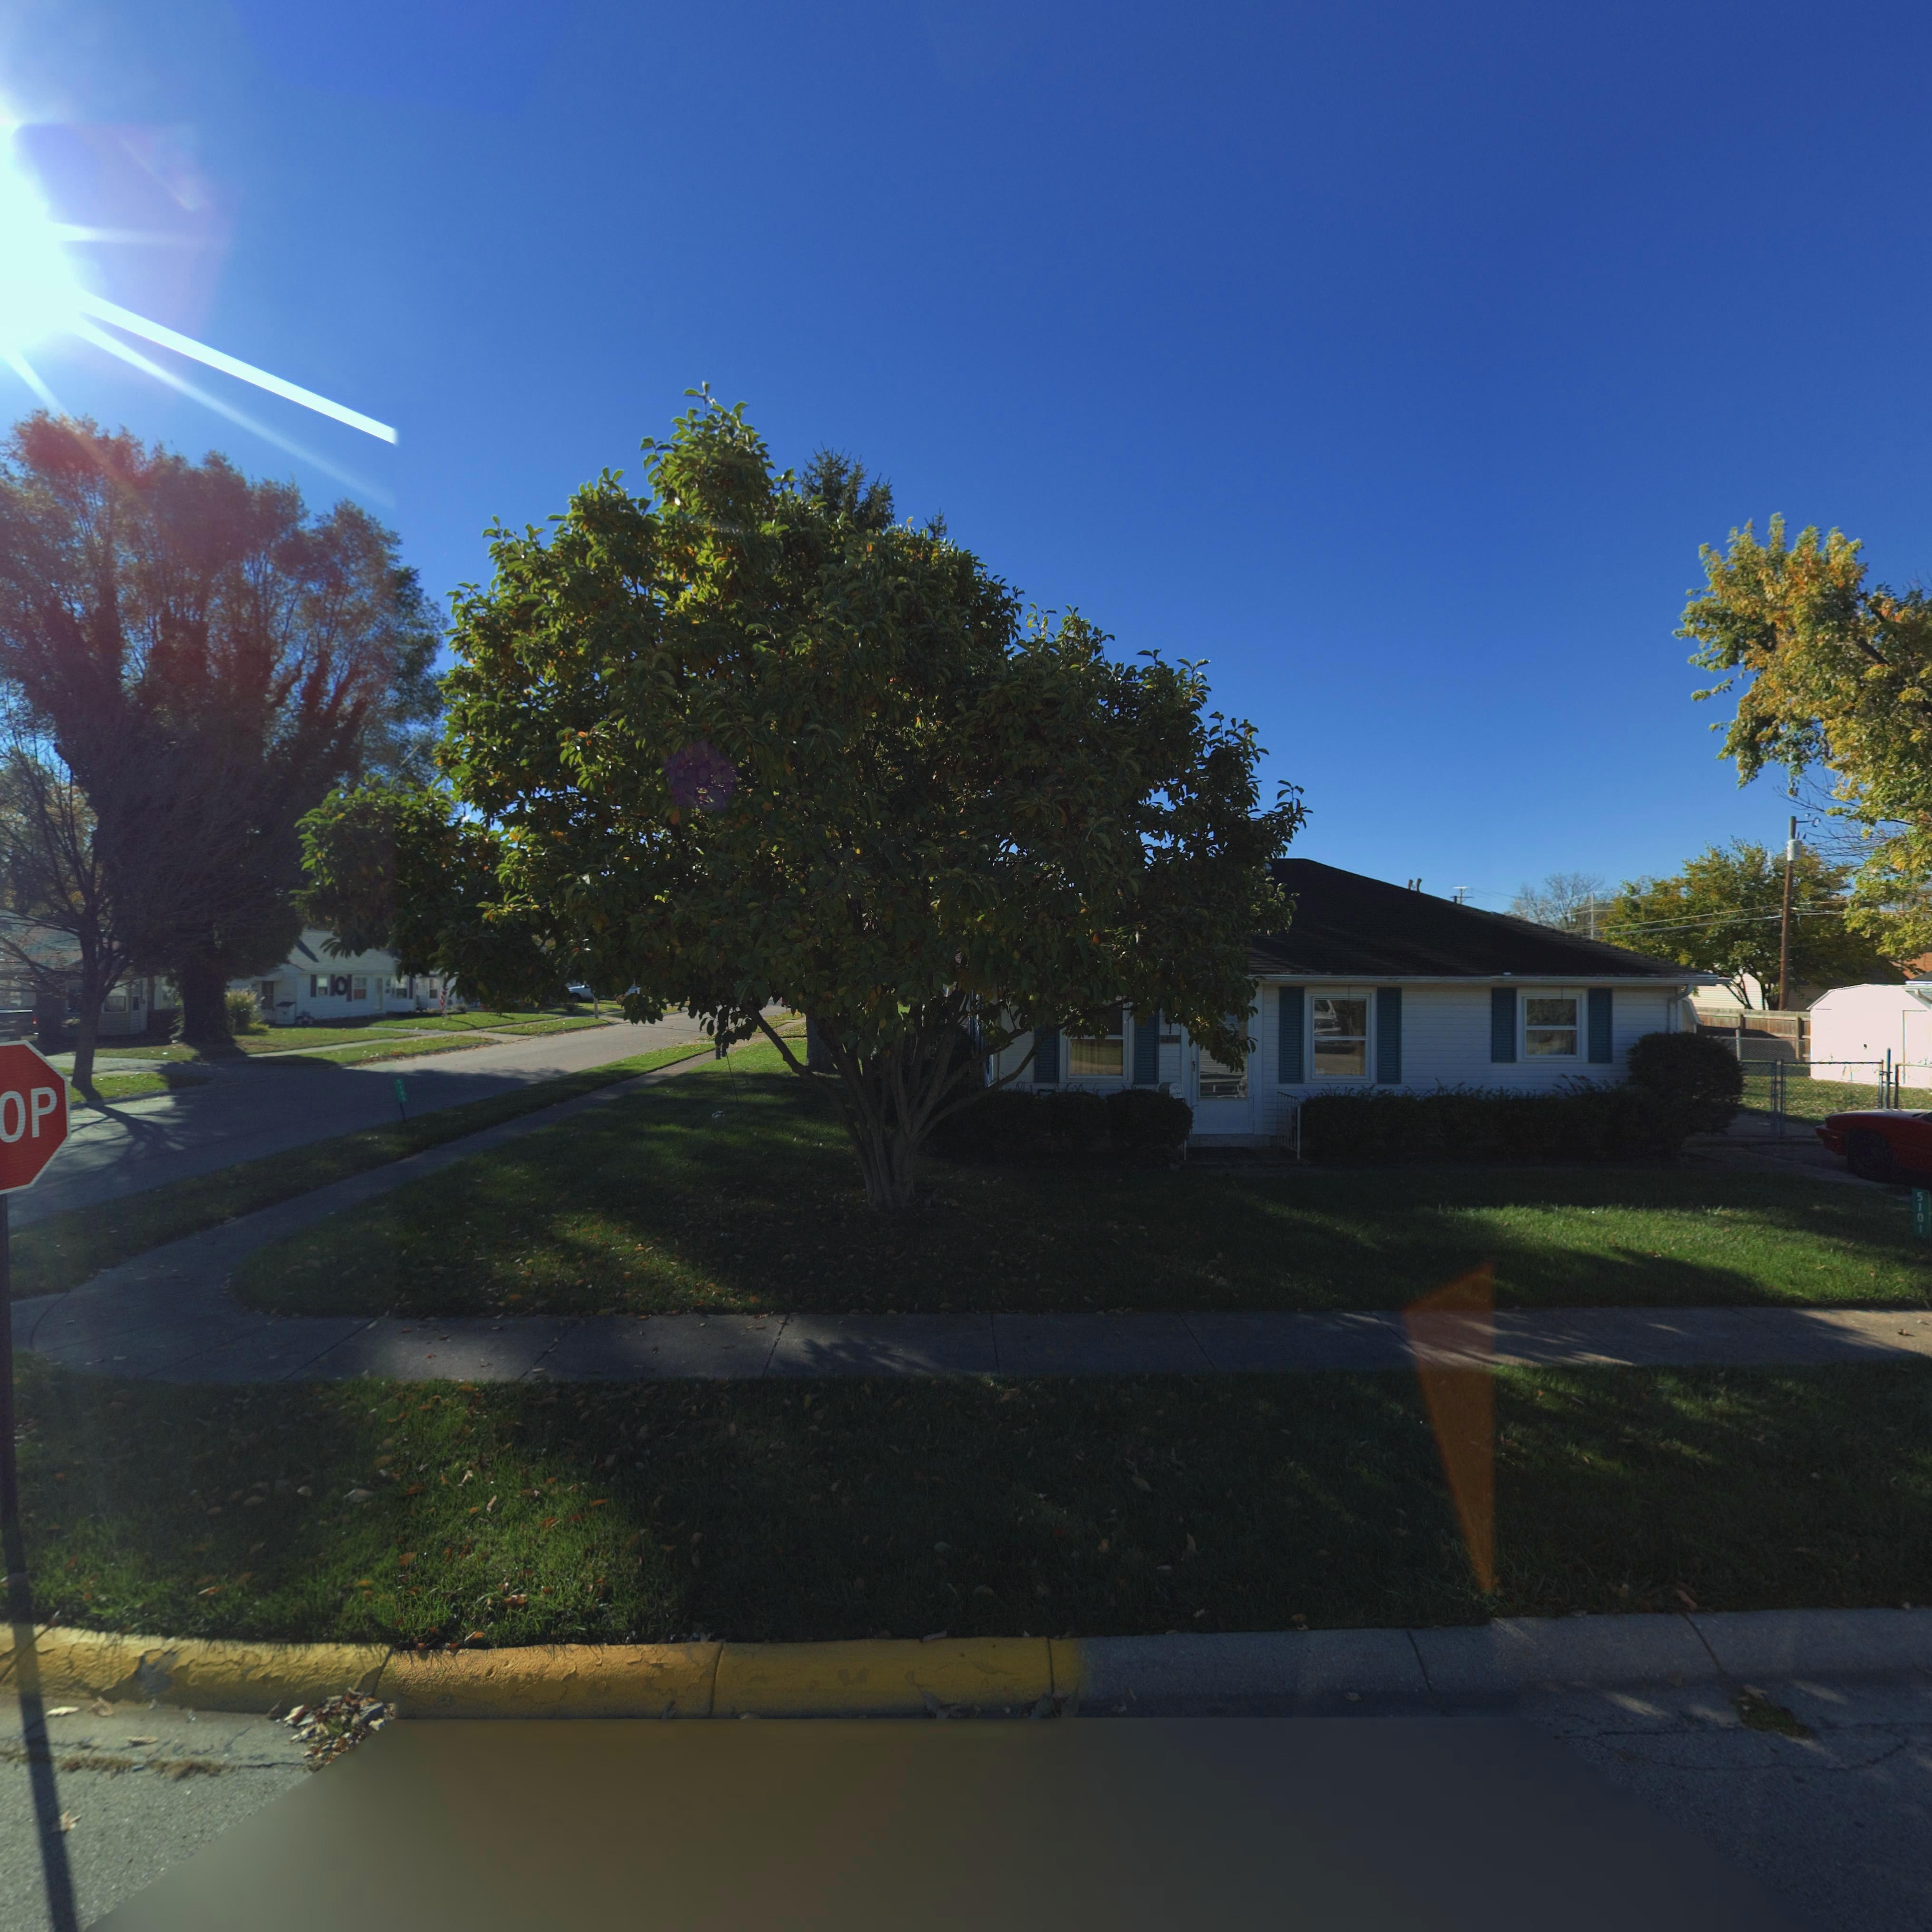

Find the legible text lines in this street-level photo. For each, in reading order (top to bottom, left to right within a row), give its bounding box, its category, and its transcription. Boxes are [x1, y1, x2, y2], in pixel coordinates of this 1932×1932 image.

[1159, 1036, 1179, 1043] StreetNumber: 5101
[1916, 1191, 1925, 1233] StreetNumber: 5101